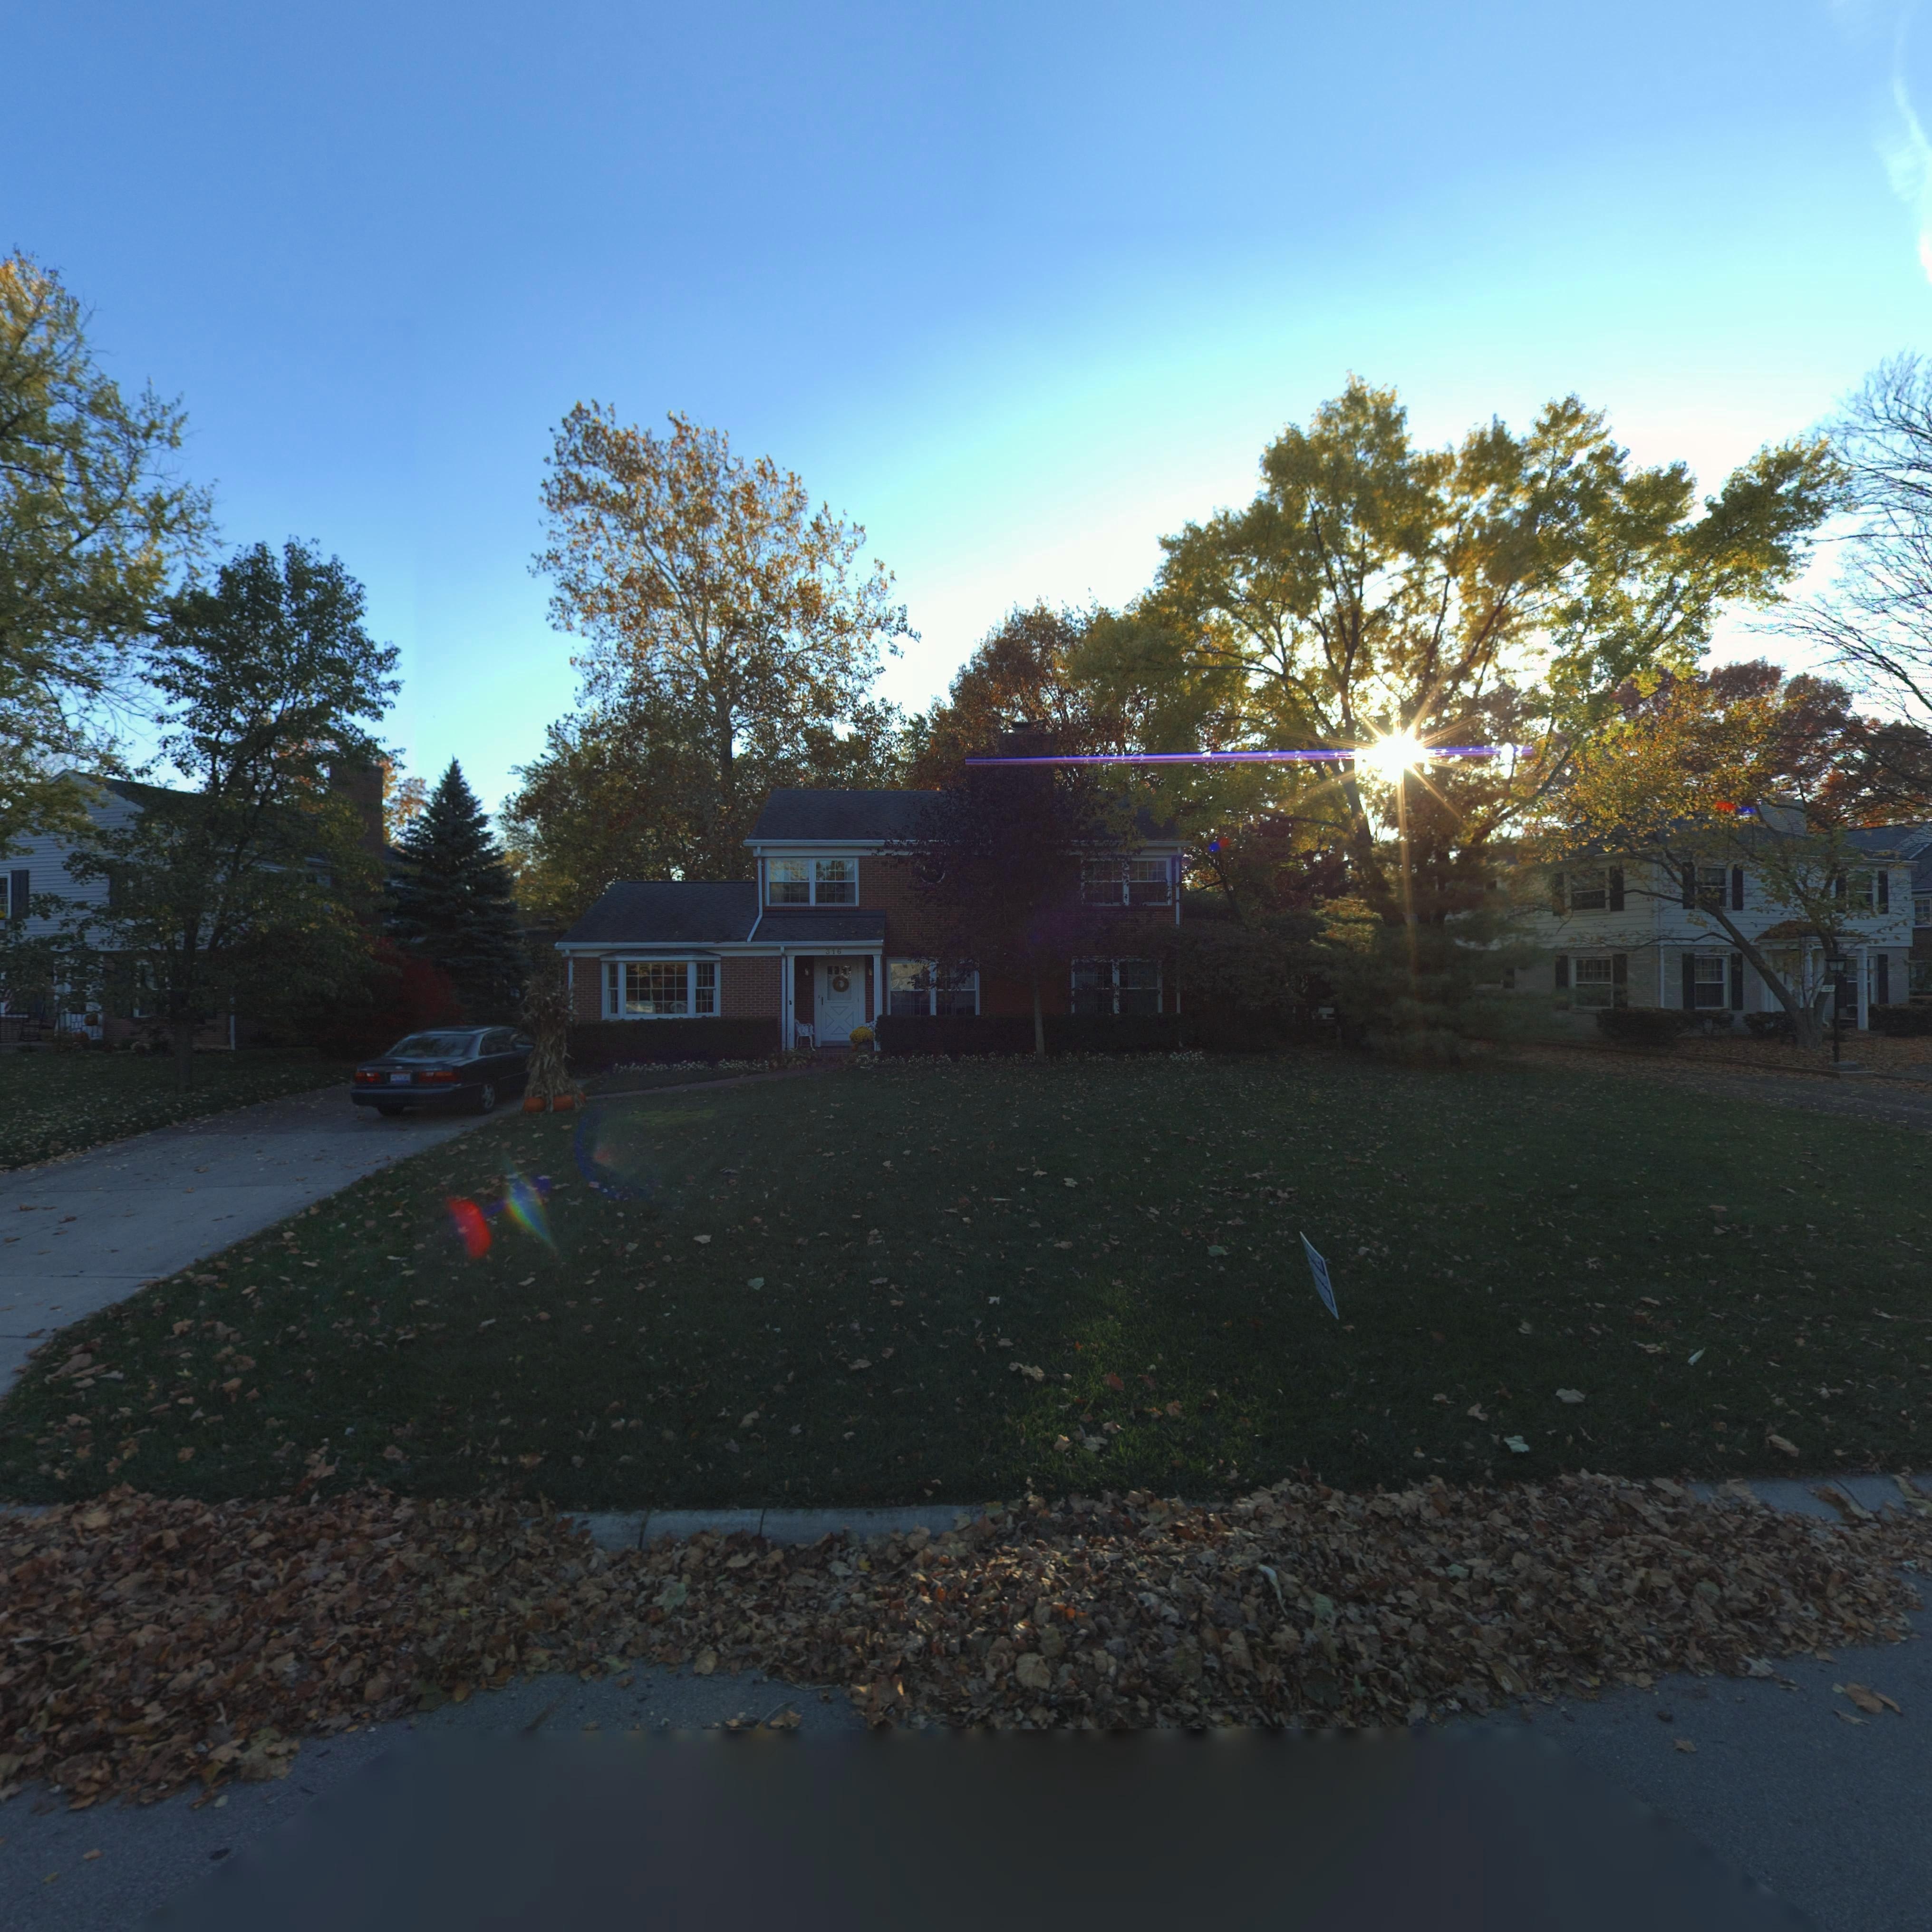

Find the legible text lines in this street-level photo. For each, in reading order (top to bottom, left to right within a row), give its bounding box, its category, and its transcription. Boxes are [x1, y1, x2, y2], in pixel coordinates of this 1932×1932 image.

[825, 947, 842, 955] StreetNumber: 316